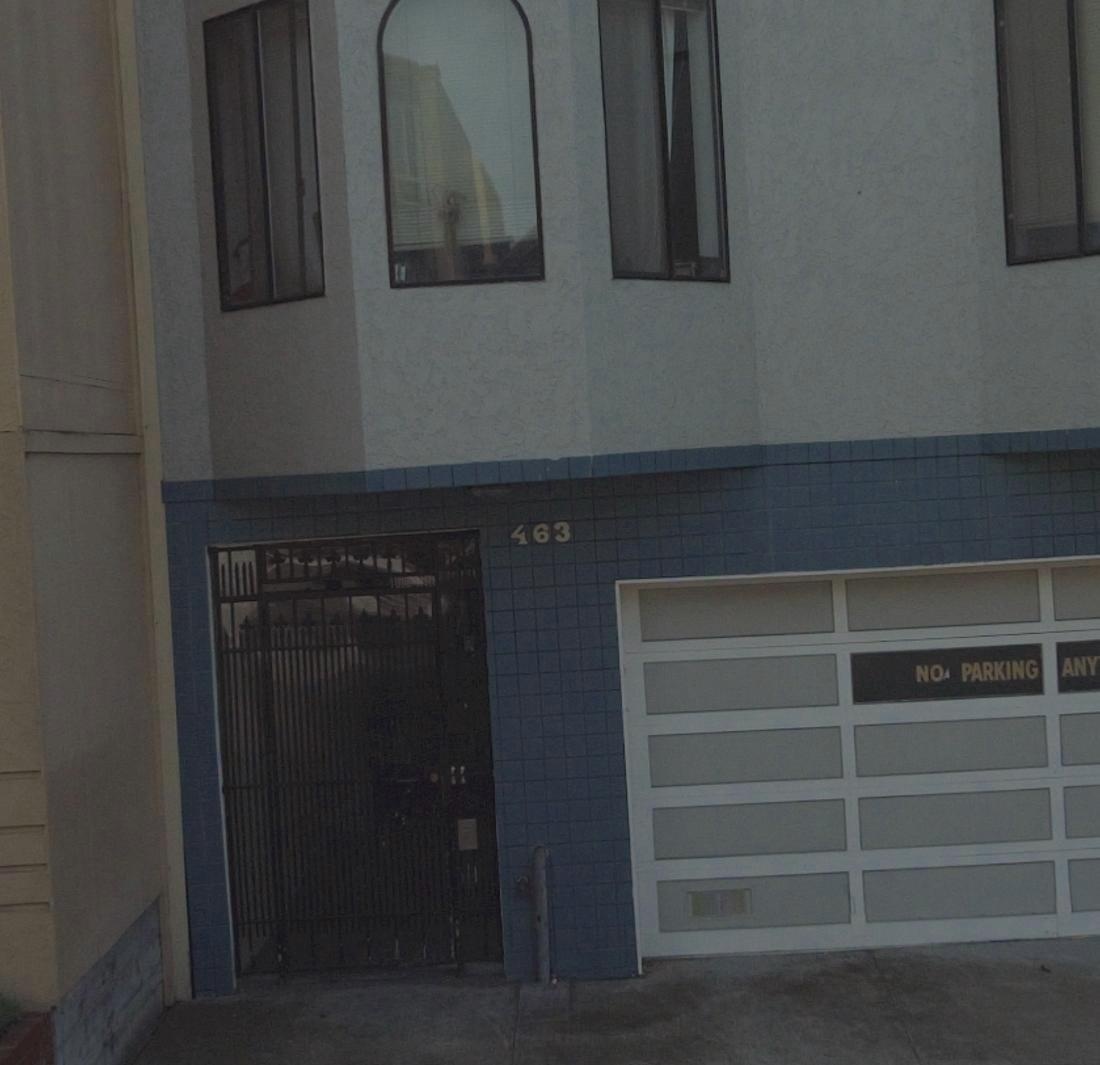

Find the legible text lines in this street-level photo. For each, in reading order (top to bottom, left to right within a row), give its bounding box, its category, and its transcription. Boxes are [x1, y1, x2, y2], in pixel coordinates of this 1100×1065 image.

[508, 519, 574, 547] StreetNumber: 463
[914, 654, 1099, 683] None: NO PARKING ANY